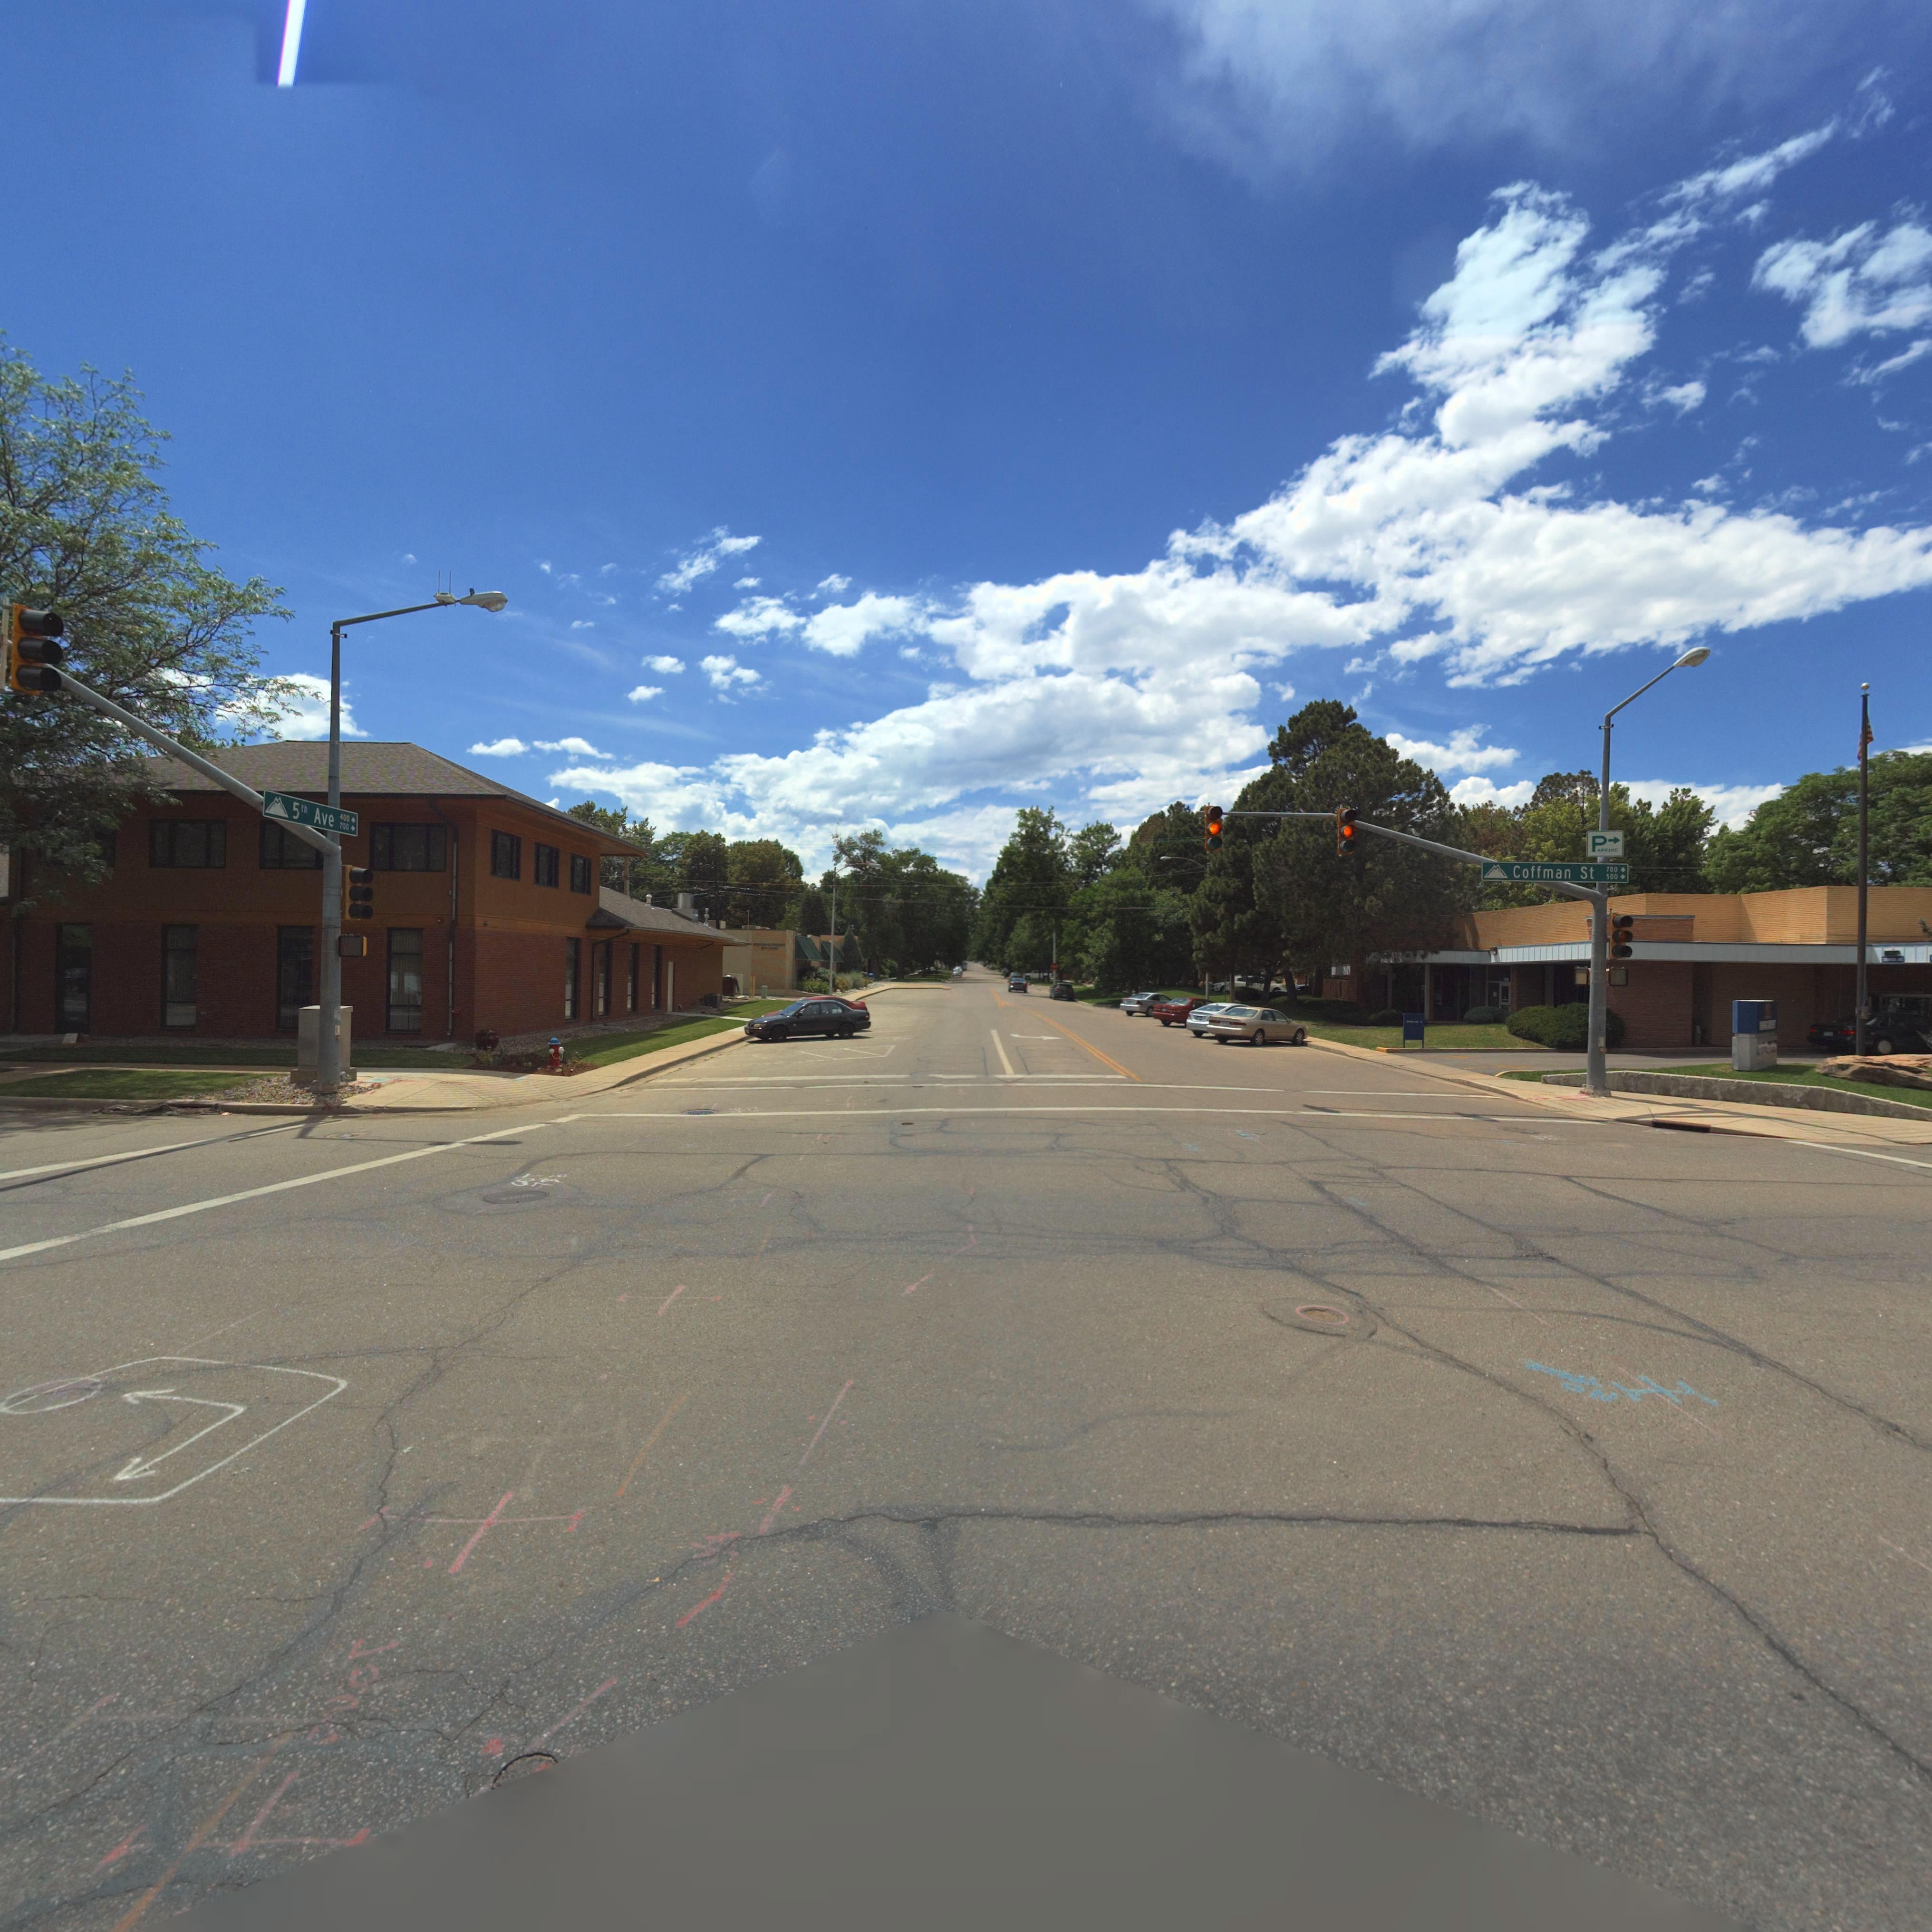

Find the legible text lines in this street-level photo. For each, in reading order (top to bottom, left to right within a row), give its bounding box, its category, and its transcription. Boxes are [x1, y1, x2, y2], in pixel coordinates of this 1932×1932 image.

[291, 801, 335, 827] StreetName: 5th Ave
[339, 813, 350, 821] StreetNumberRange: 400
[339, 821, 356, 831] StreetNumberRange: 700->
[1512, 865, 1594, 879] BusinessName: Coffman St
[1605, 866, 1618, 872] StreetNumberRange: 700
[1606, 873, 1626, 879] StreetNumberRange: 500->
[1758, 1021, 1767, 1031] BusinessName: BANK
[1768, 1020, 1776, 1029] BusinessName: WEST